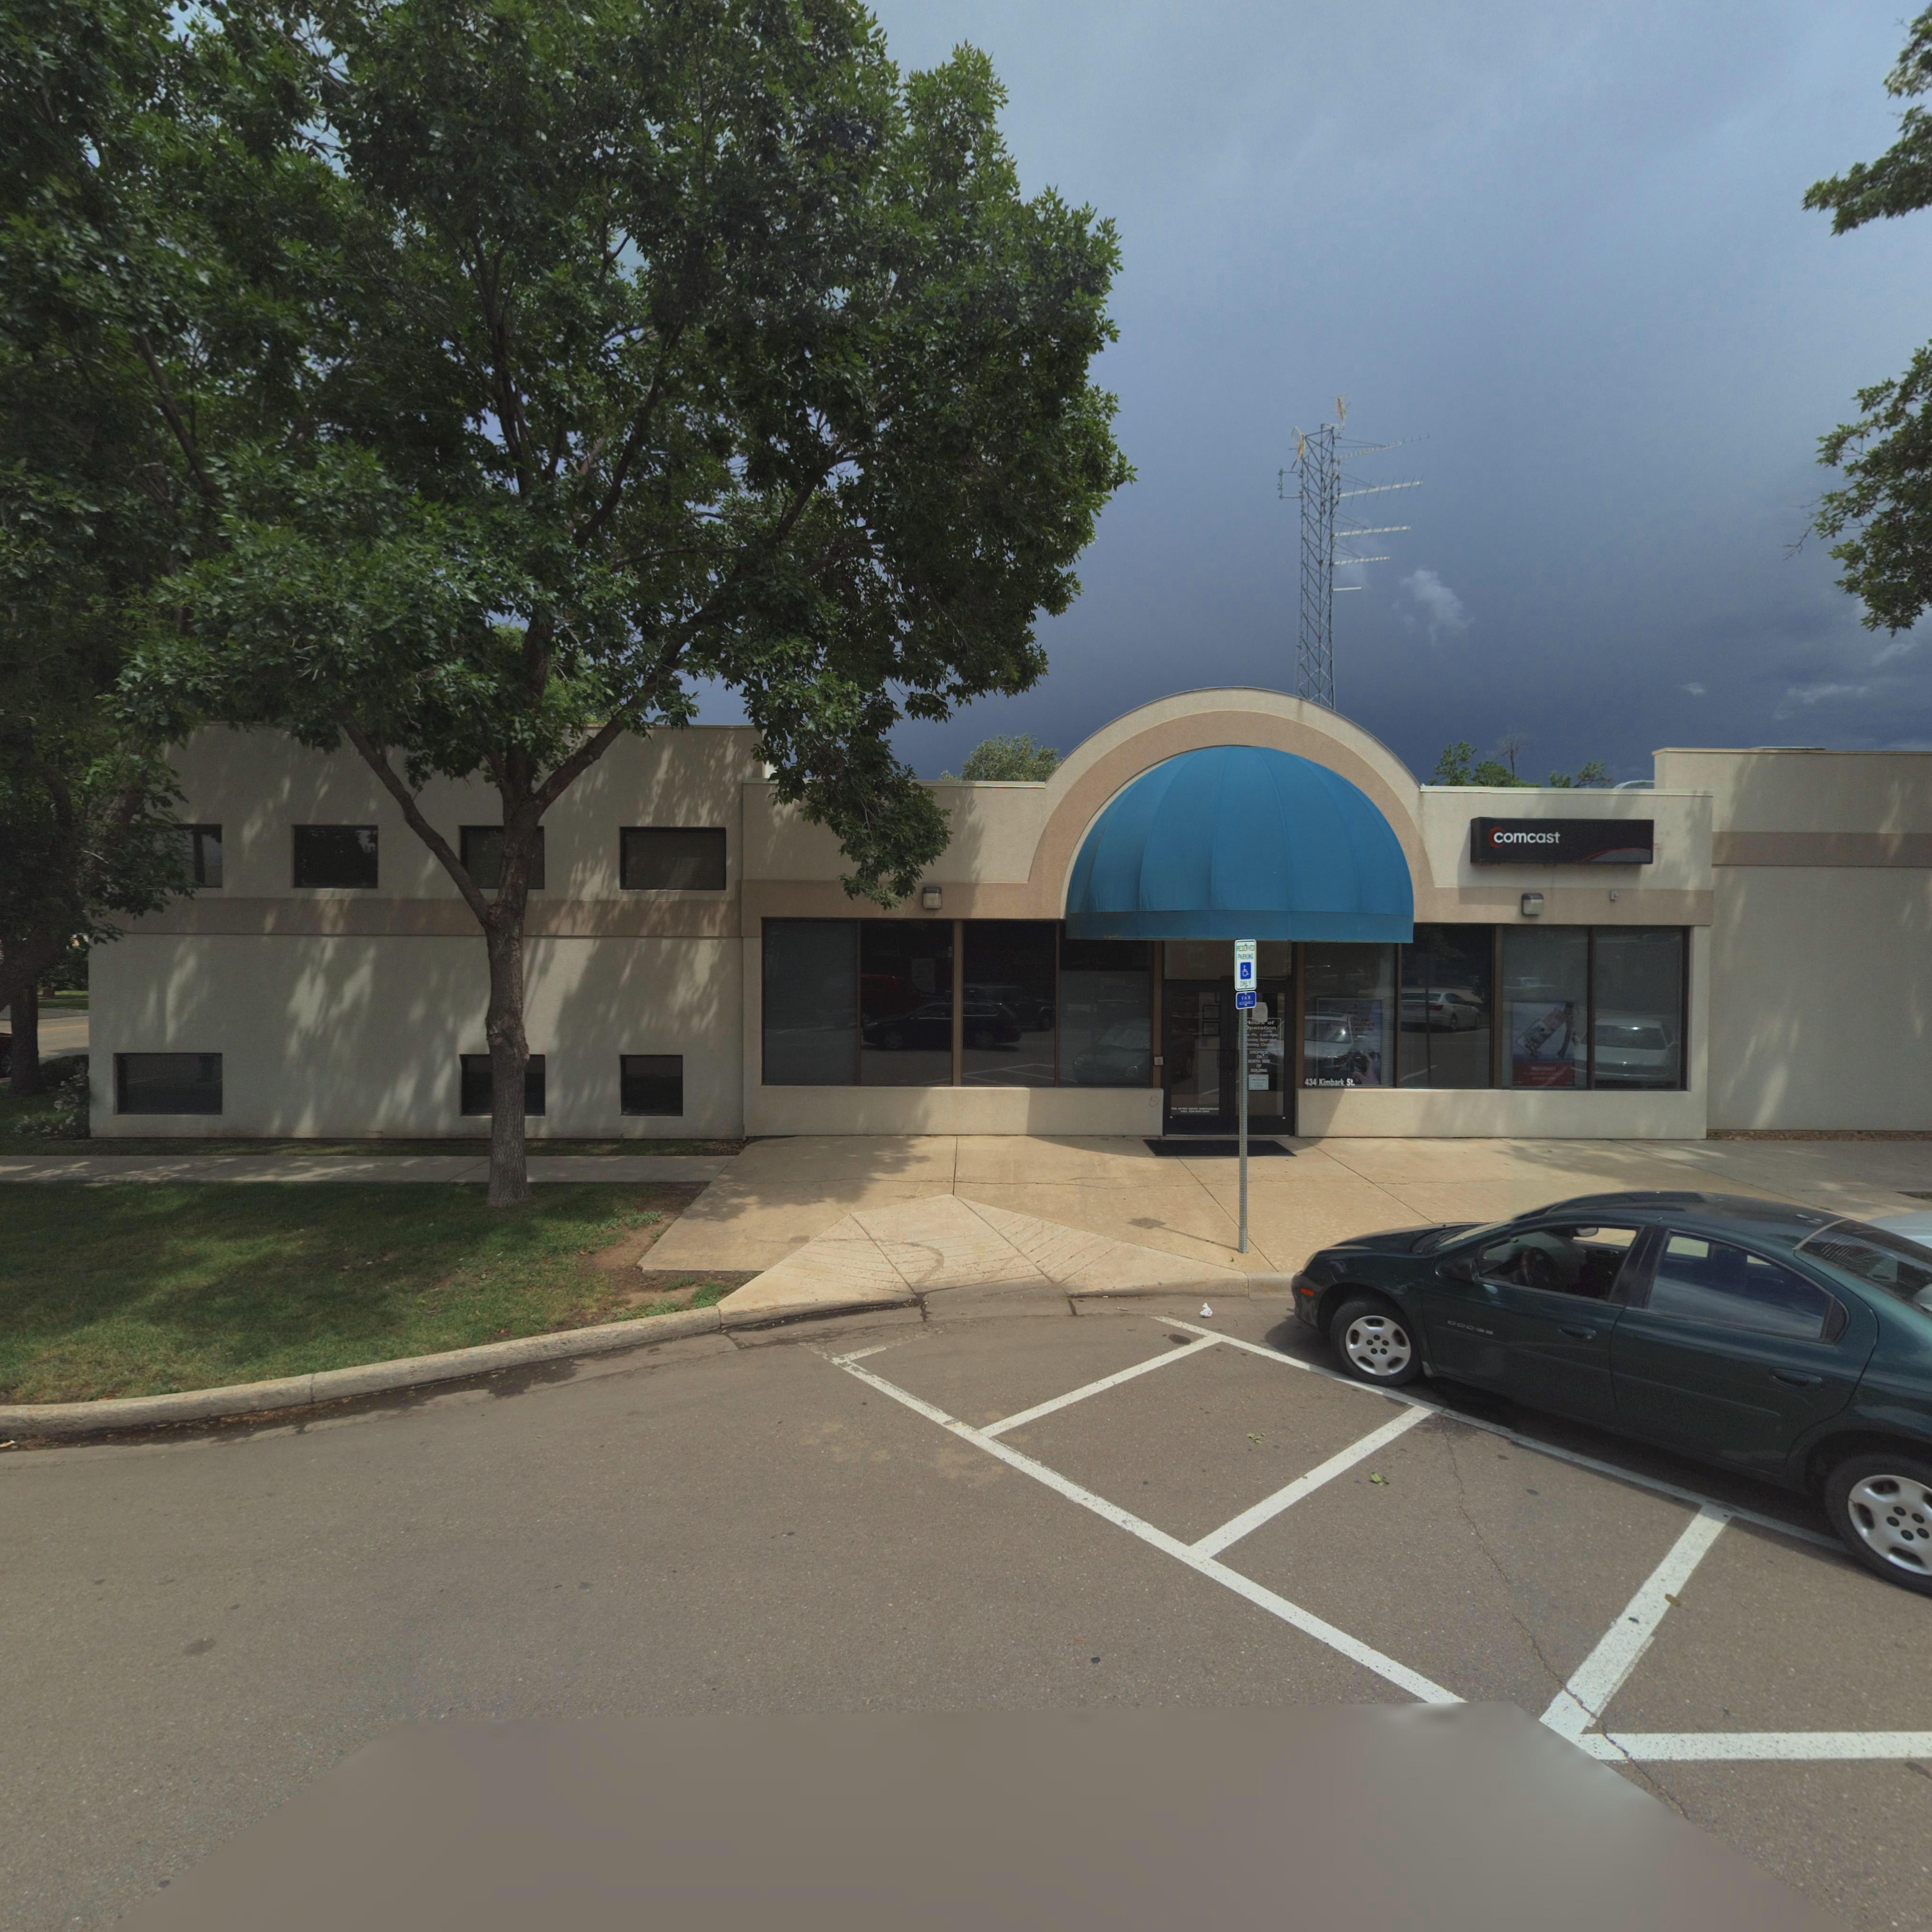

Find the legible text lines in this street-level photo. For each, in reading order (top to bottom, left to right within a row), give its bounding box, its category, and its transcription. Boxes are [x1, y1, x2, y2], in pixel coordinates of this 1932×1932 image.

[1492, 831, 1561, 844] BusinessName: comcast
[1304, 1077, 1317, 1086] StreetNumber: 434
[1318, 1078, 1353, 1086] StreetName: Kimbark St